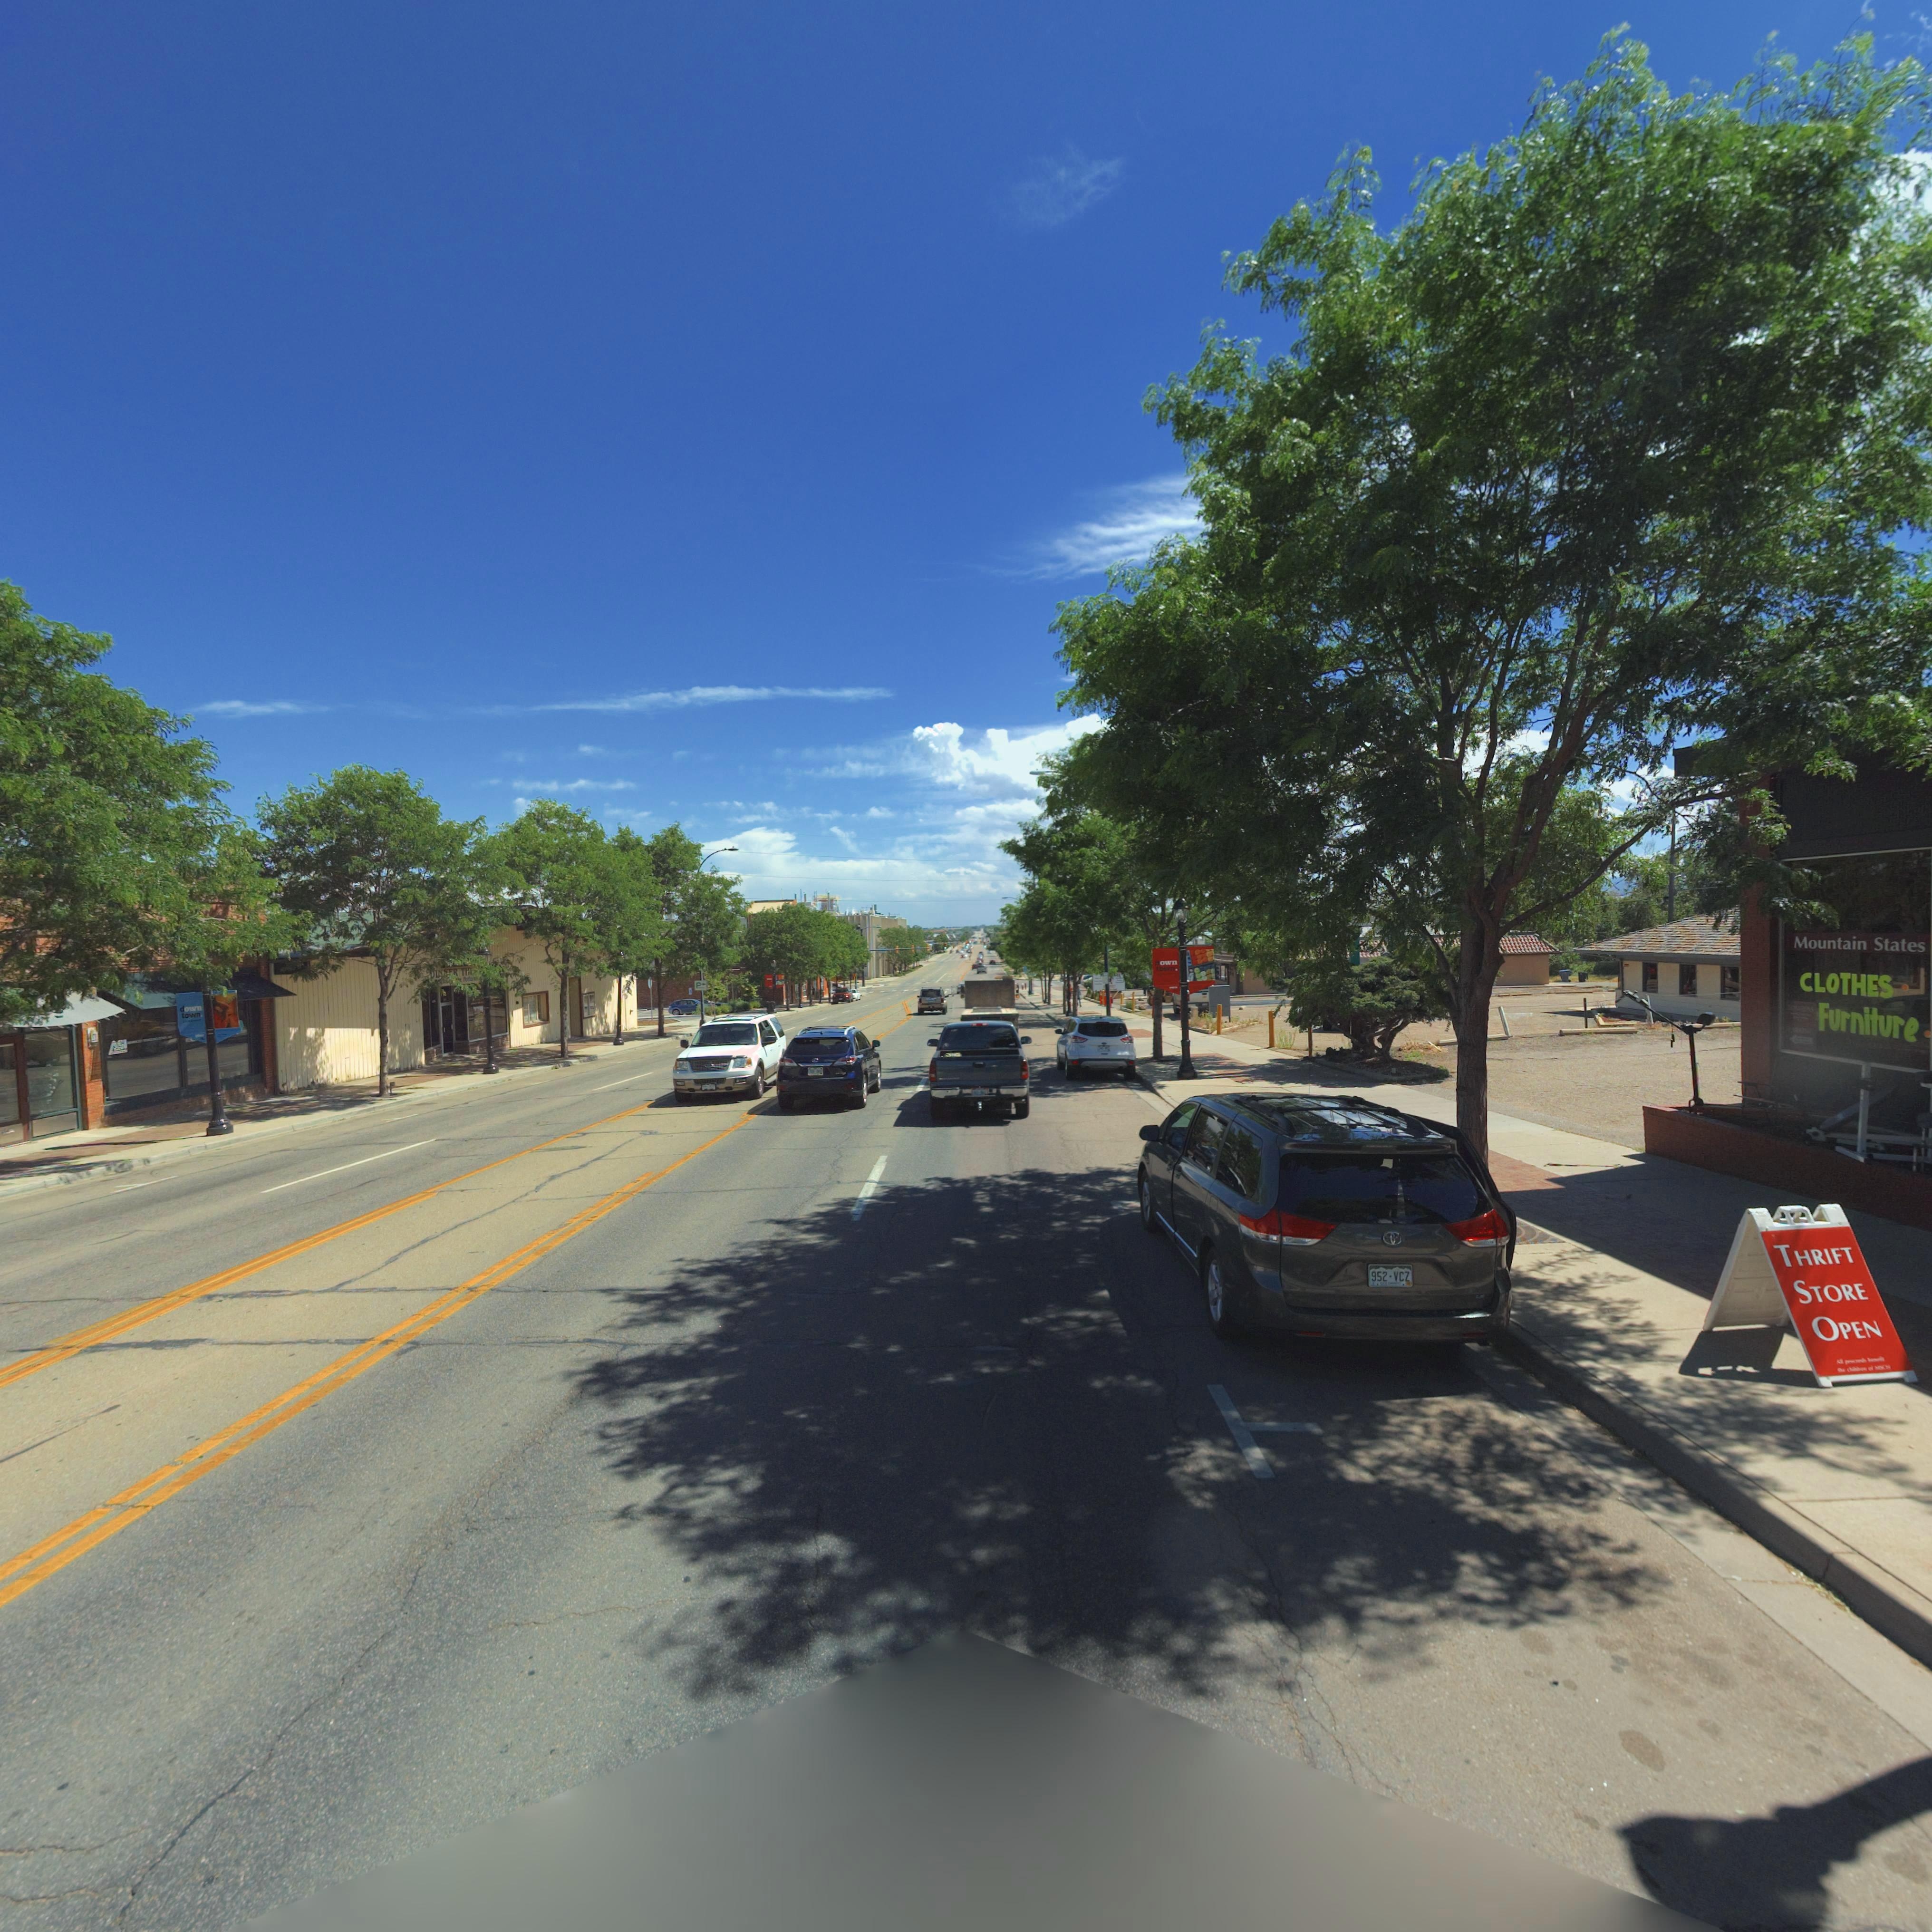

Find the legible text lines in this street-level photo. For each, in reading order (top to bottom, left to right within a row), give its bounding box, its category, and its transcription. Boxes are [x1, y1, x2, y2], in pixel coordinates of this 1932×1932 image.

[429, 967, 473, 979] BusinessName: DINNER TH*